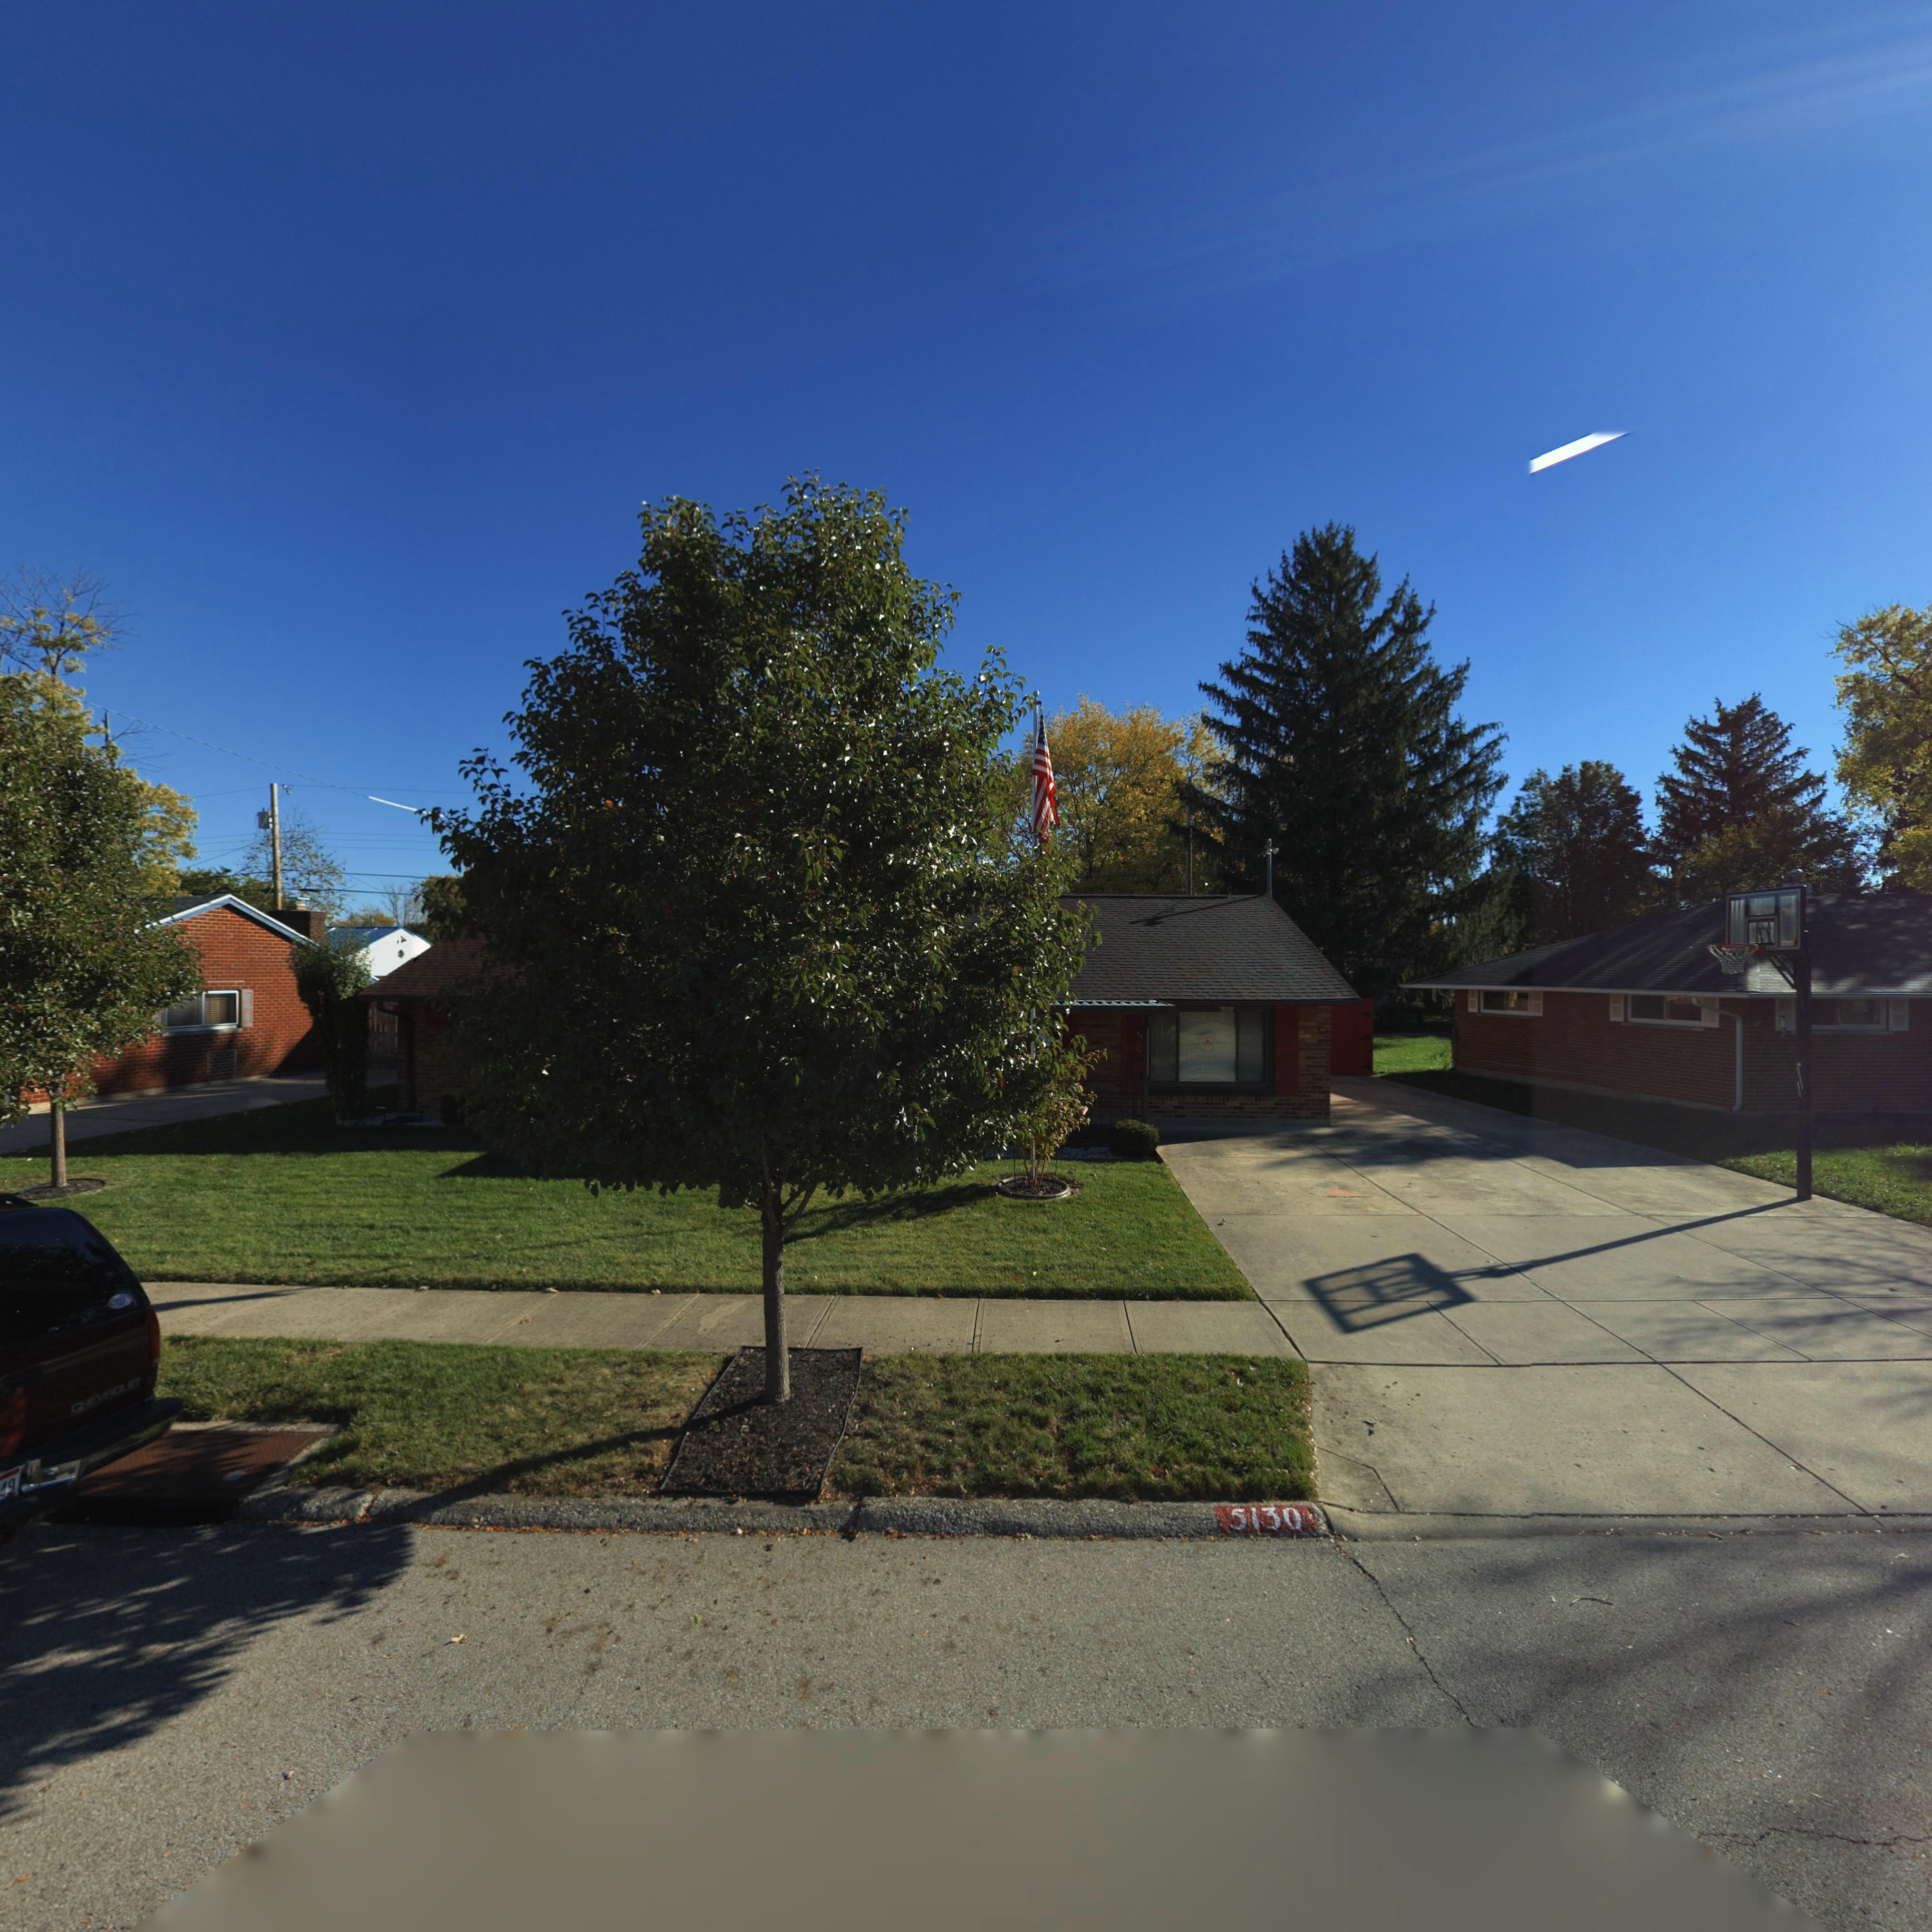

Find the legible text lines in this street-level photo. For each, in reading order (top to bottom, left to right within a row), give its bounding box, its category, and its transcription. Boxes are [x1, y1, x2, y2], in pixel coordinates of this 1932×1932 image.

[1226, 1506, 1306, 1531] StreetNumber: 5130